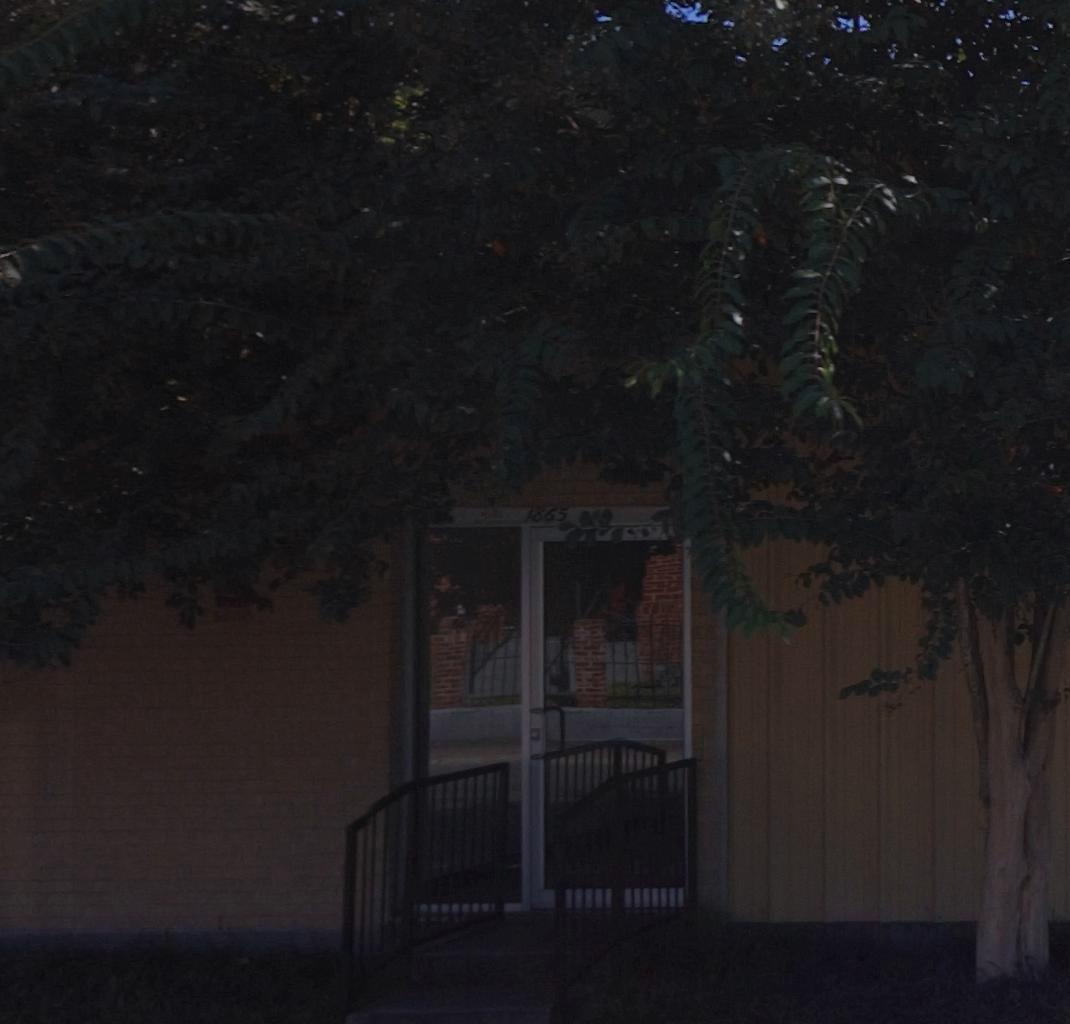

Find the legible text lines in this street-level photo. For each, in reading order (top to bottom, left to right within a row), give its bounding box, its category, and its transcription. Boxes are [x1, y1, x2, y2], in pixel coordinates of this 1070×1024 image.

[521, 506, 572, 524] StreetNumber: 1865